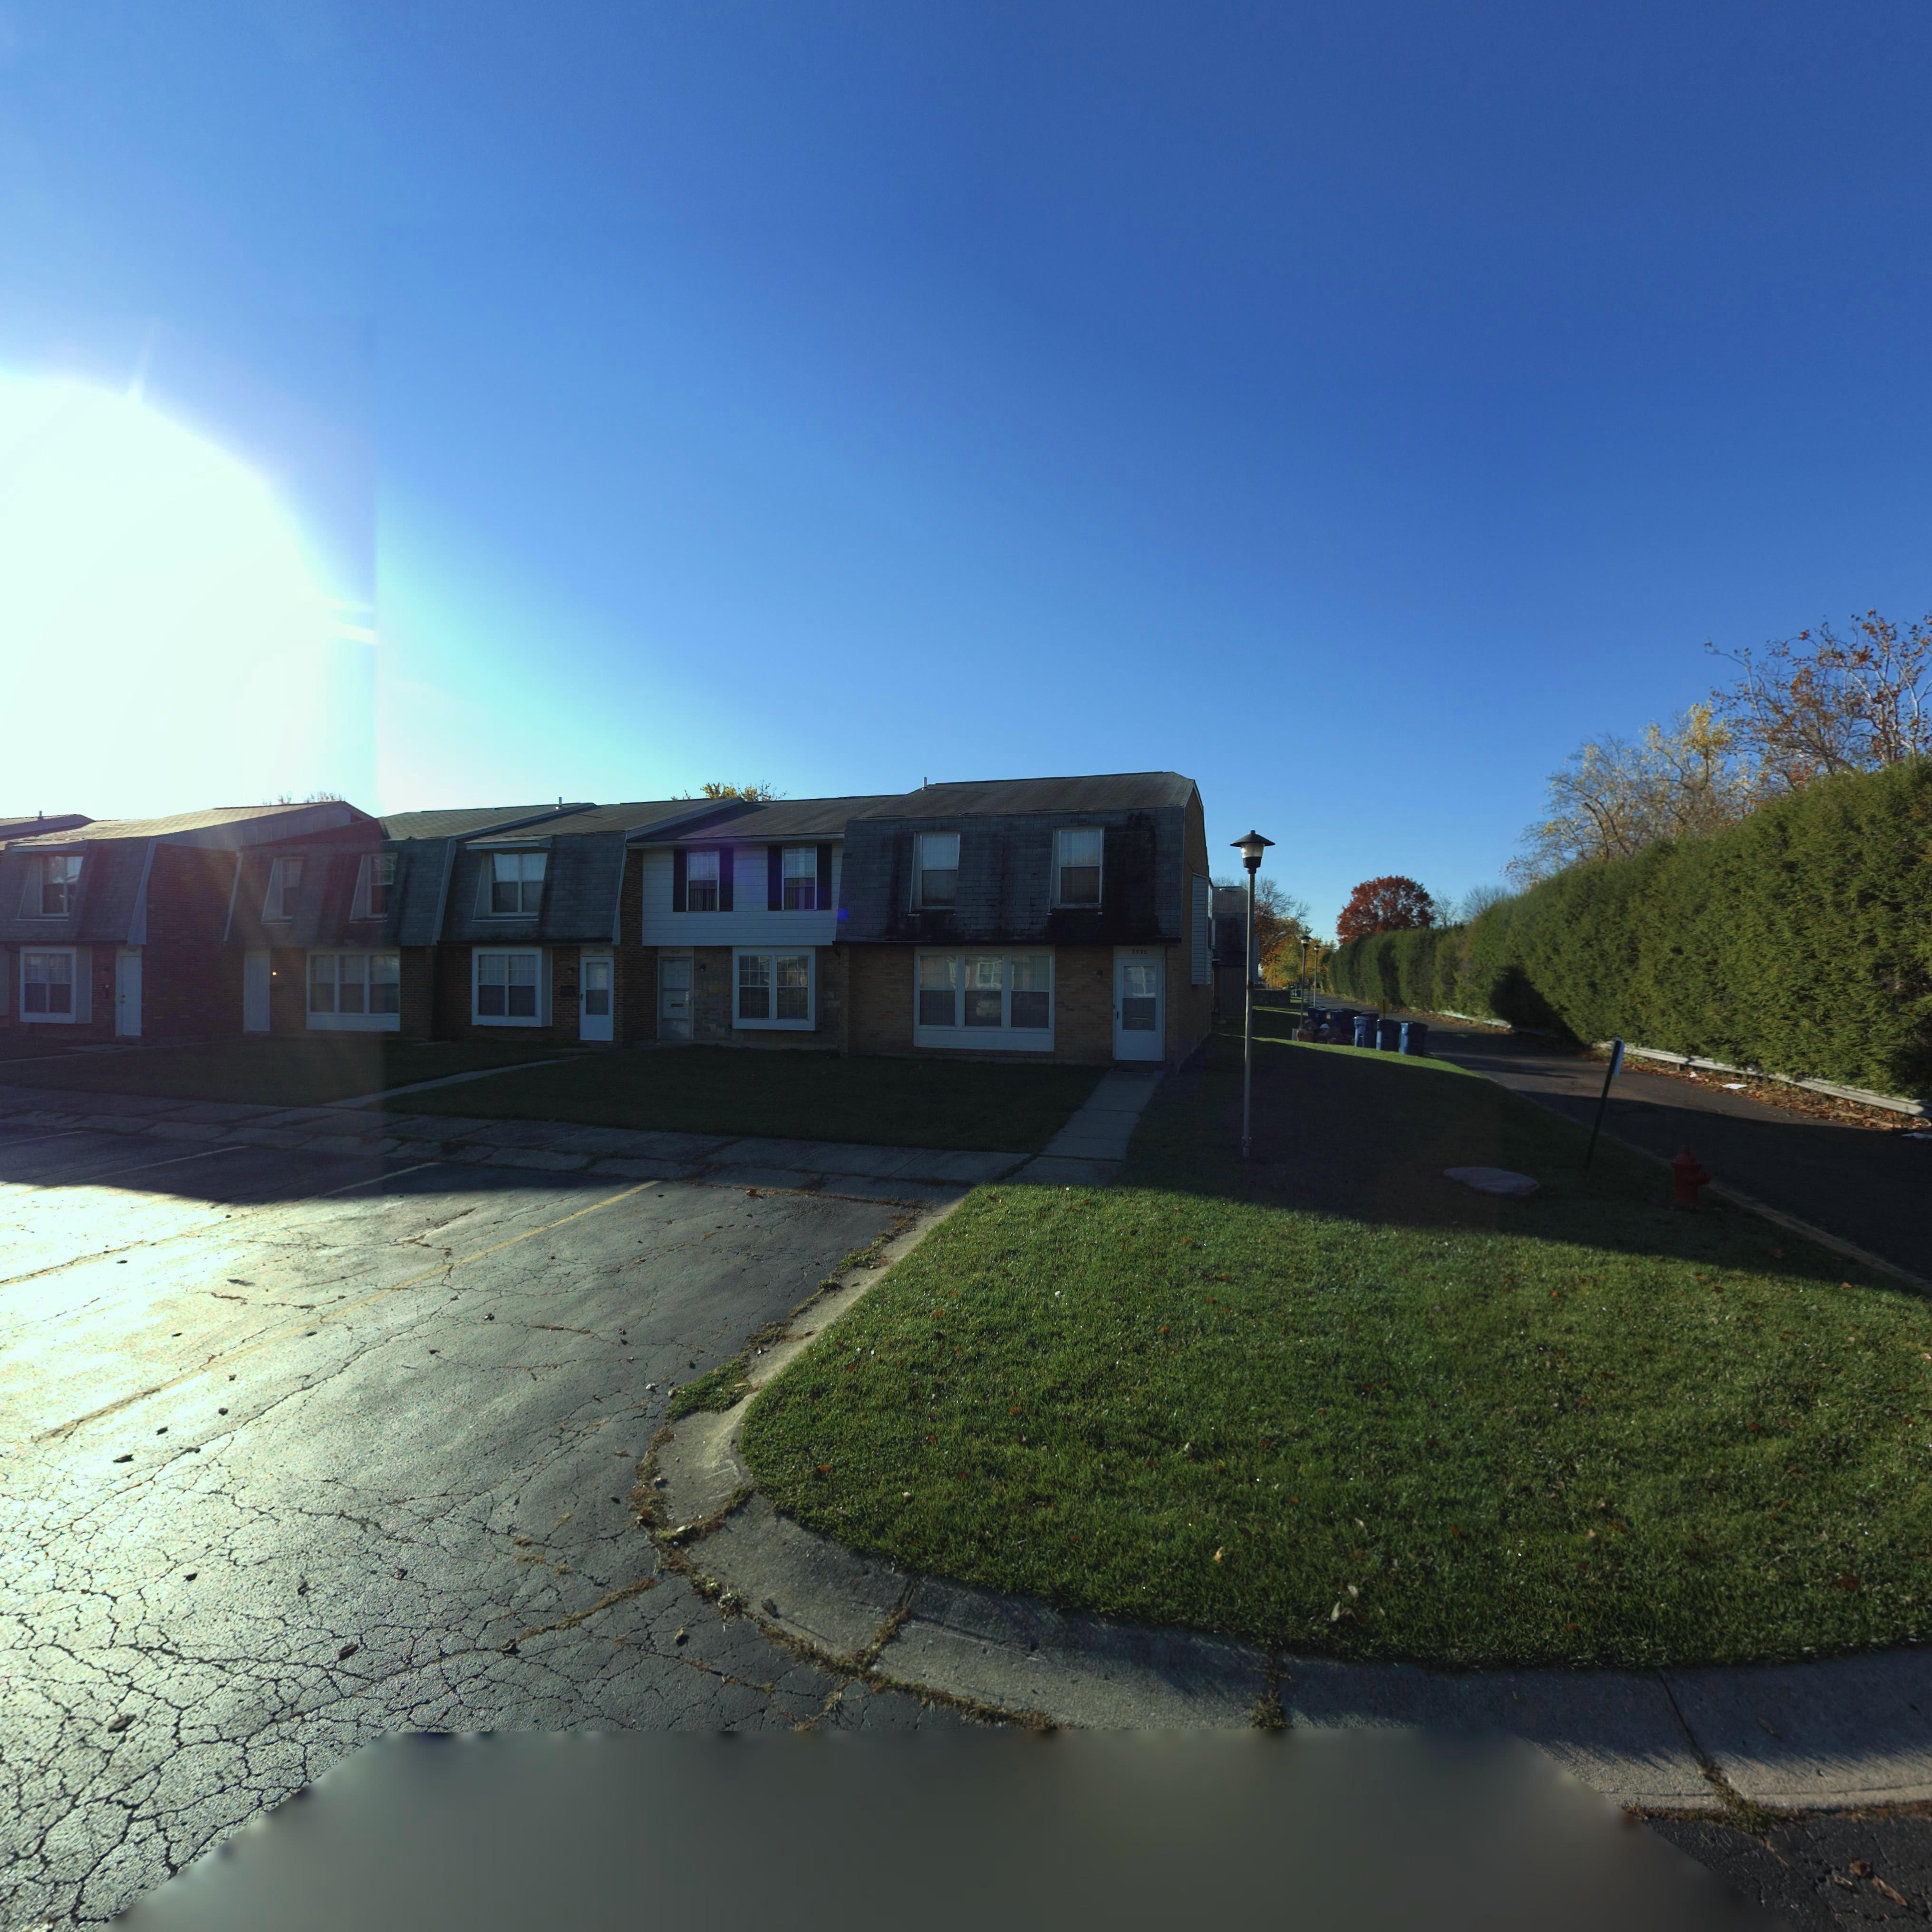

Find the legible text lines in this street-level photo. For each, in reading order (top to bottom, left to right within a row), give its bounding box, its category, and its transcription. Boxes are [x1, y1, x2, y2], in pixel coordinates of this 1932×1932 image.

[669, 949, 681, 956] StreetNumber: ***2
[1130, 948, 1149, 956] StreetNumber: 7570